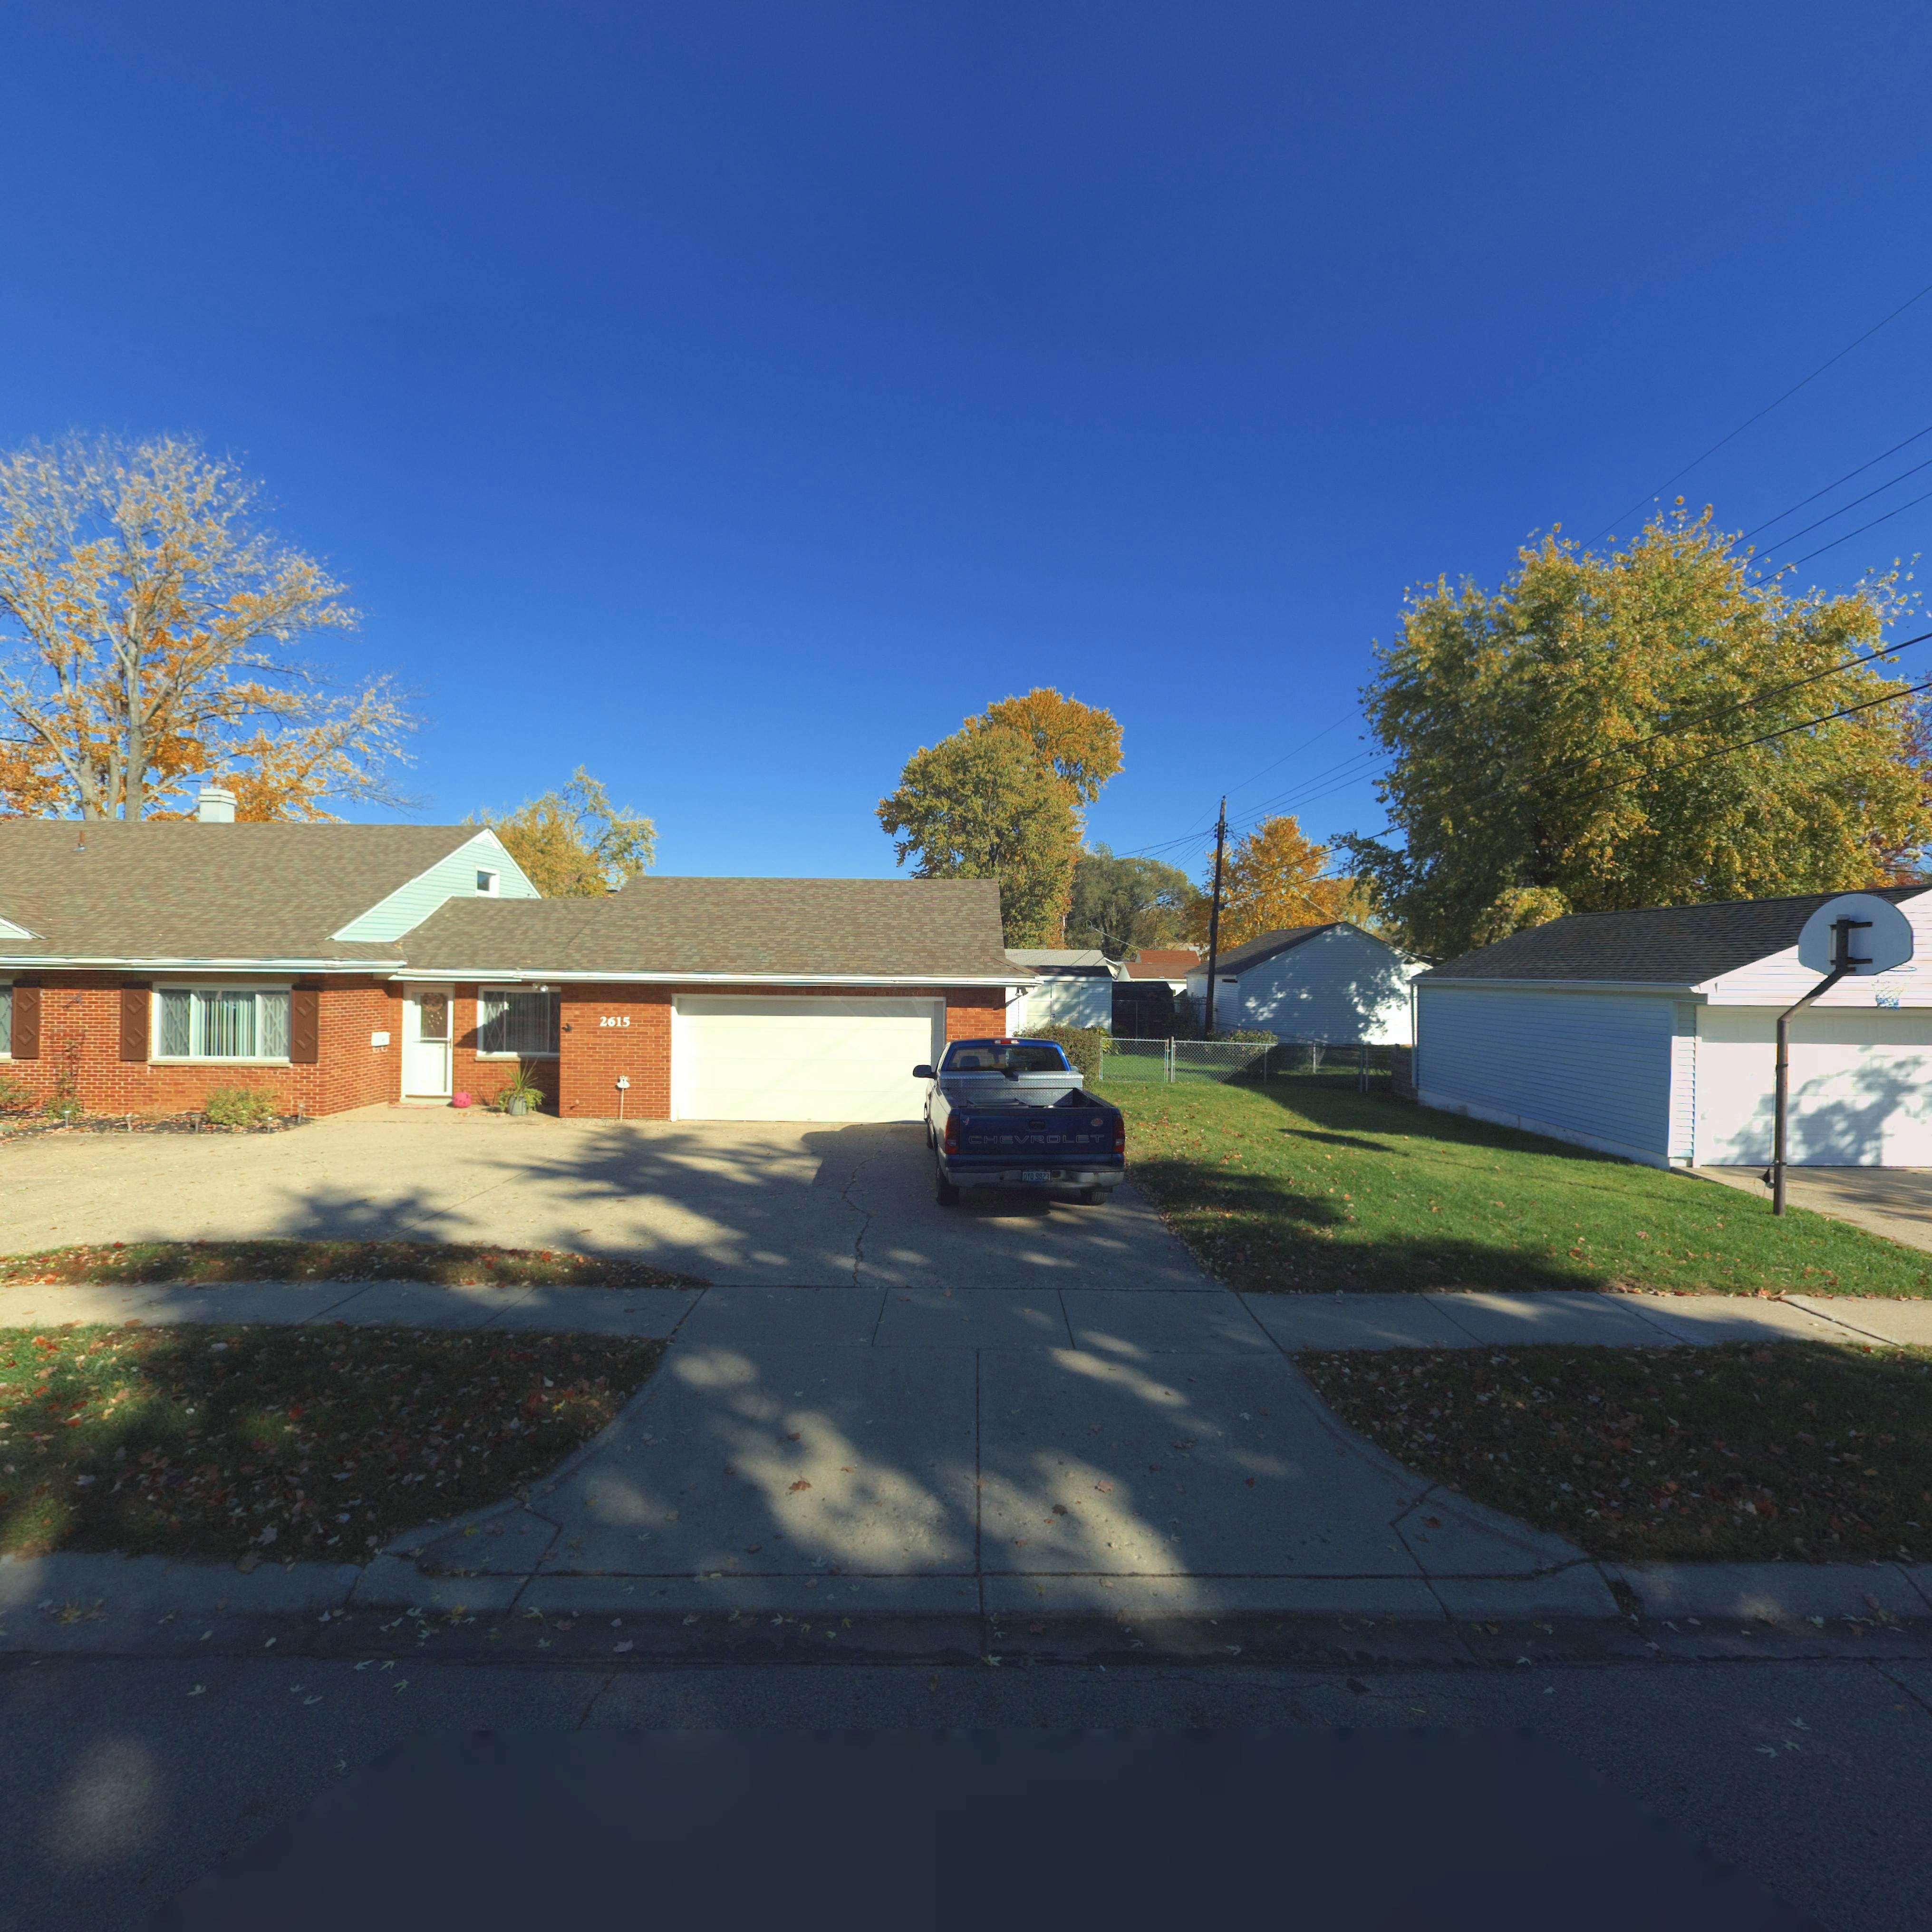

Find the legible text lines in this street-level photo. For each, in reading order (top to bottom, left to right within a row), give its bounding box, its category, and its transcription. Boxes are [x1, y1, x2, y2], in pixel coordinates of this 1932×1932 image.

[599, 1015, 631, 1027] StreetNumber: 2615